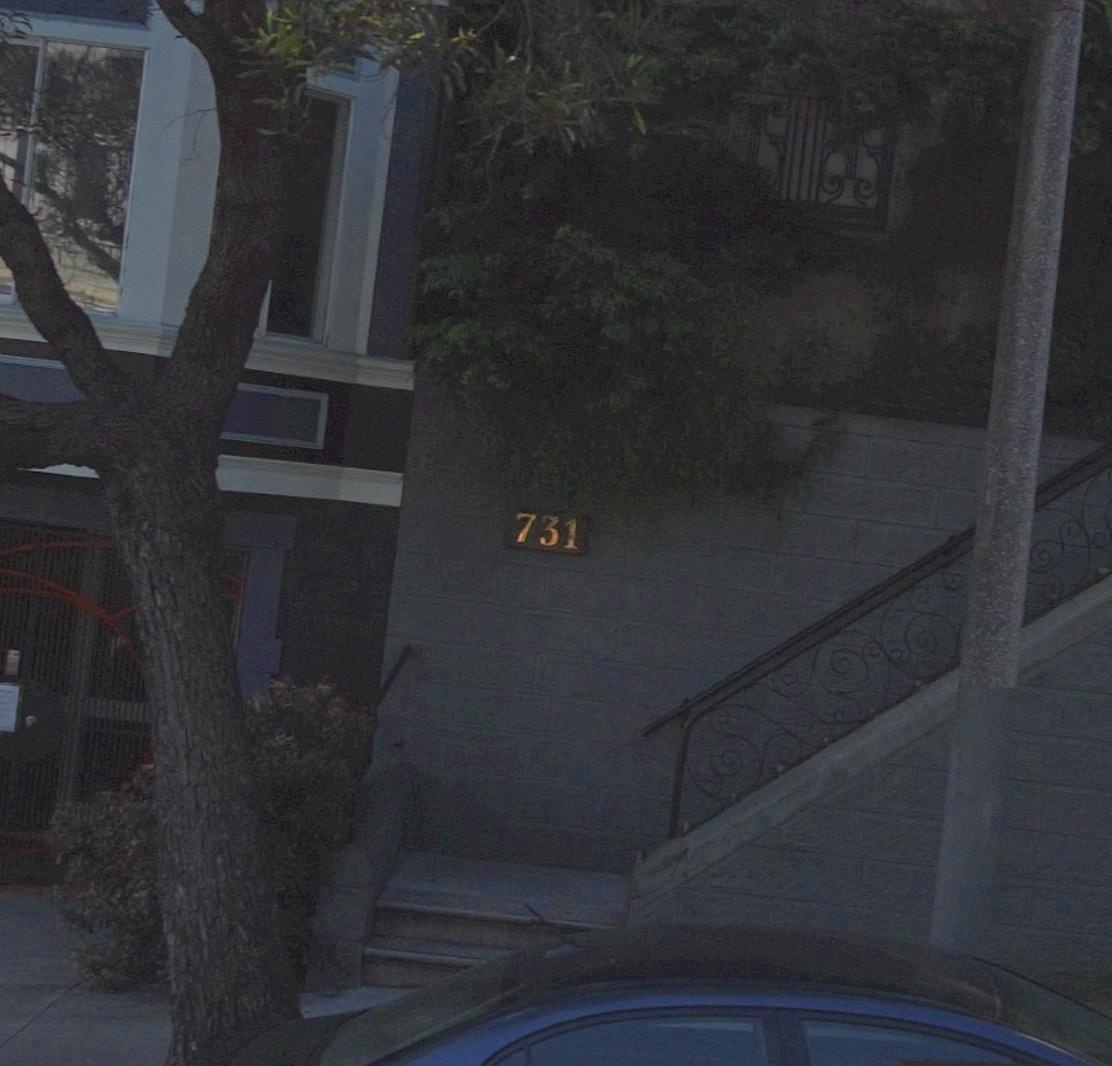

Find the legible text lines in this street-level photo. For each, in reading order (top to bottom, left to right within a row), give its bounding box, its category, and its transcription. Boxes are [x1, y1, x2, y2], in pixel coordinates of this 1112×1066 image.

[511, 507, 585, 556] StreetNumber: 731